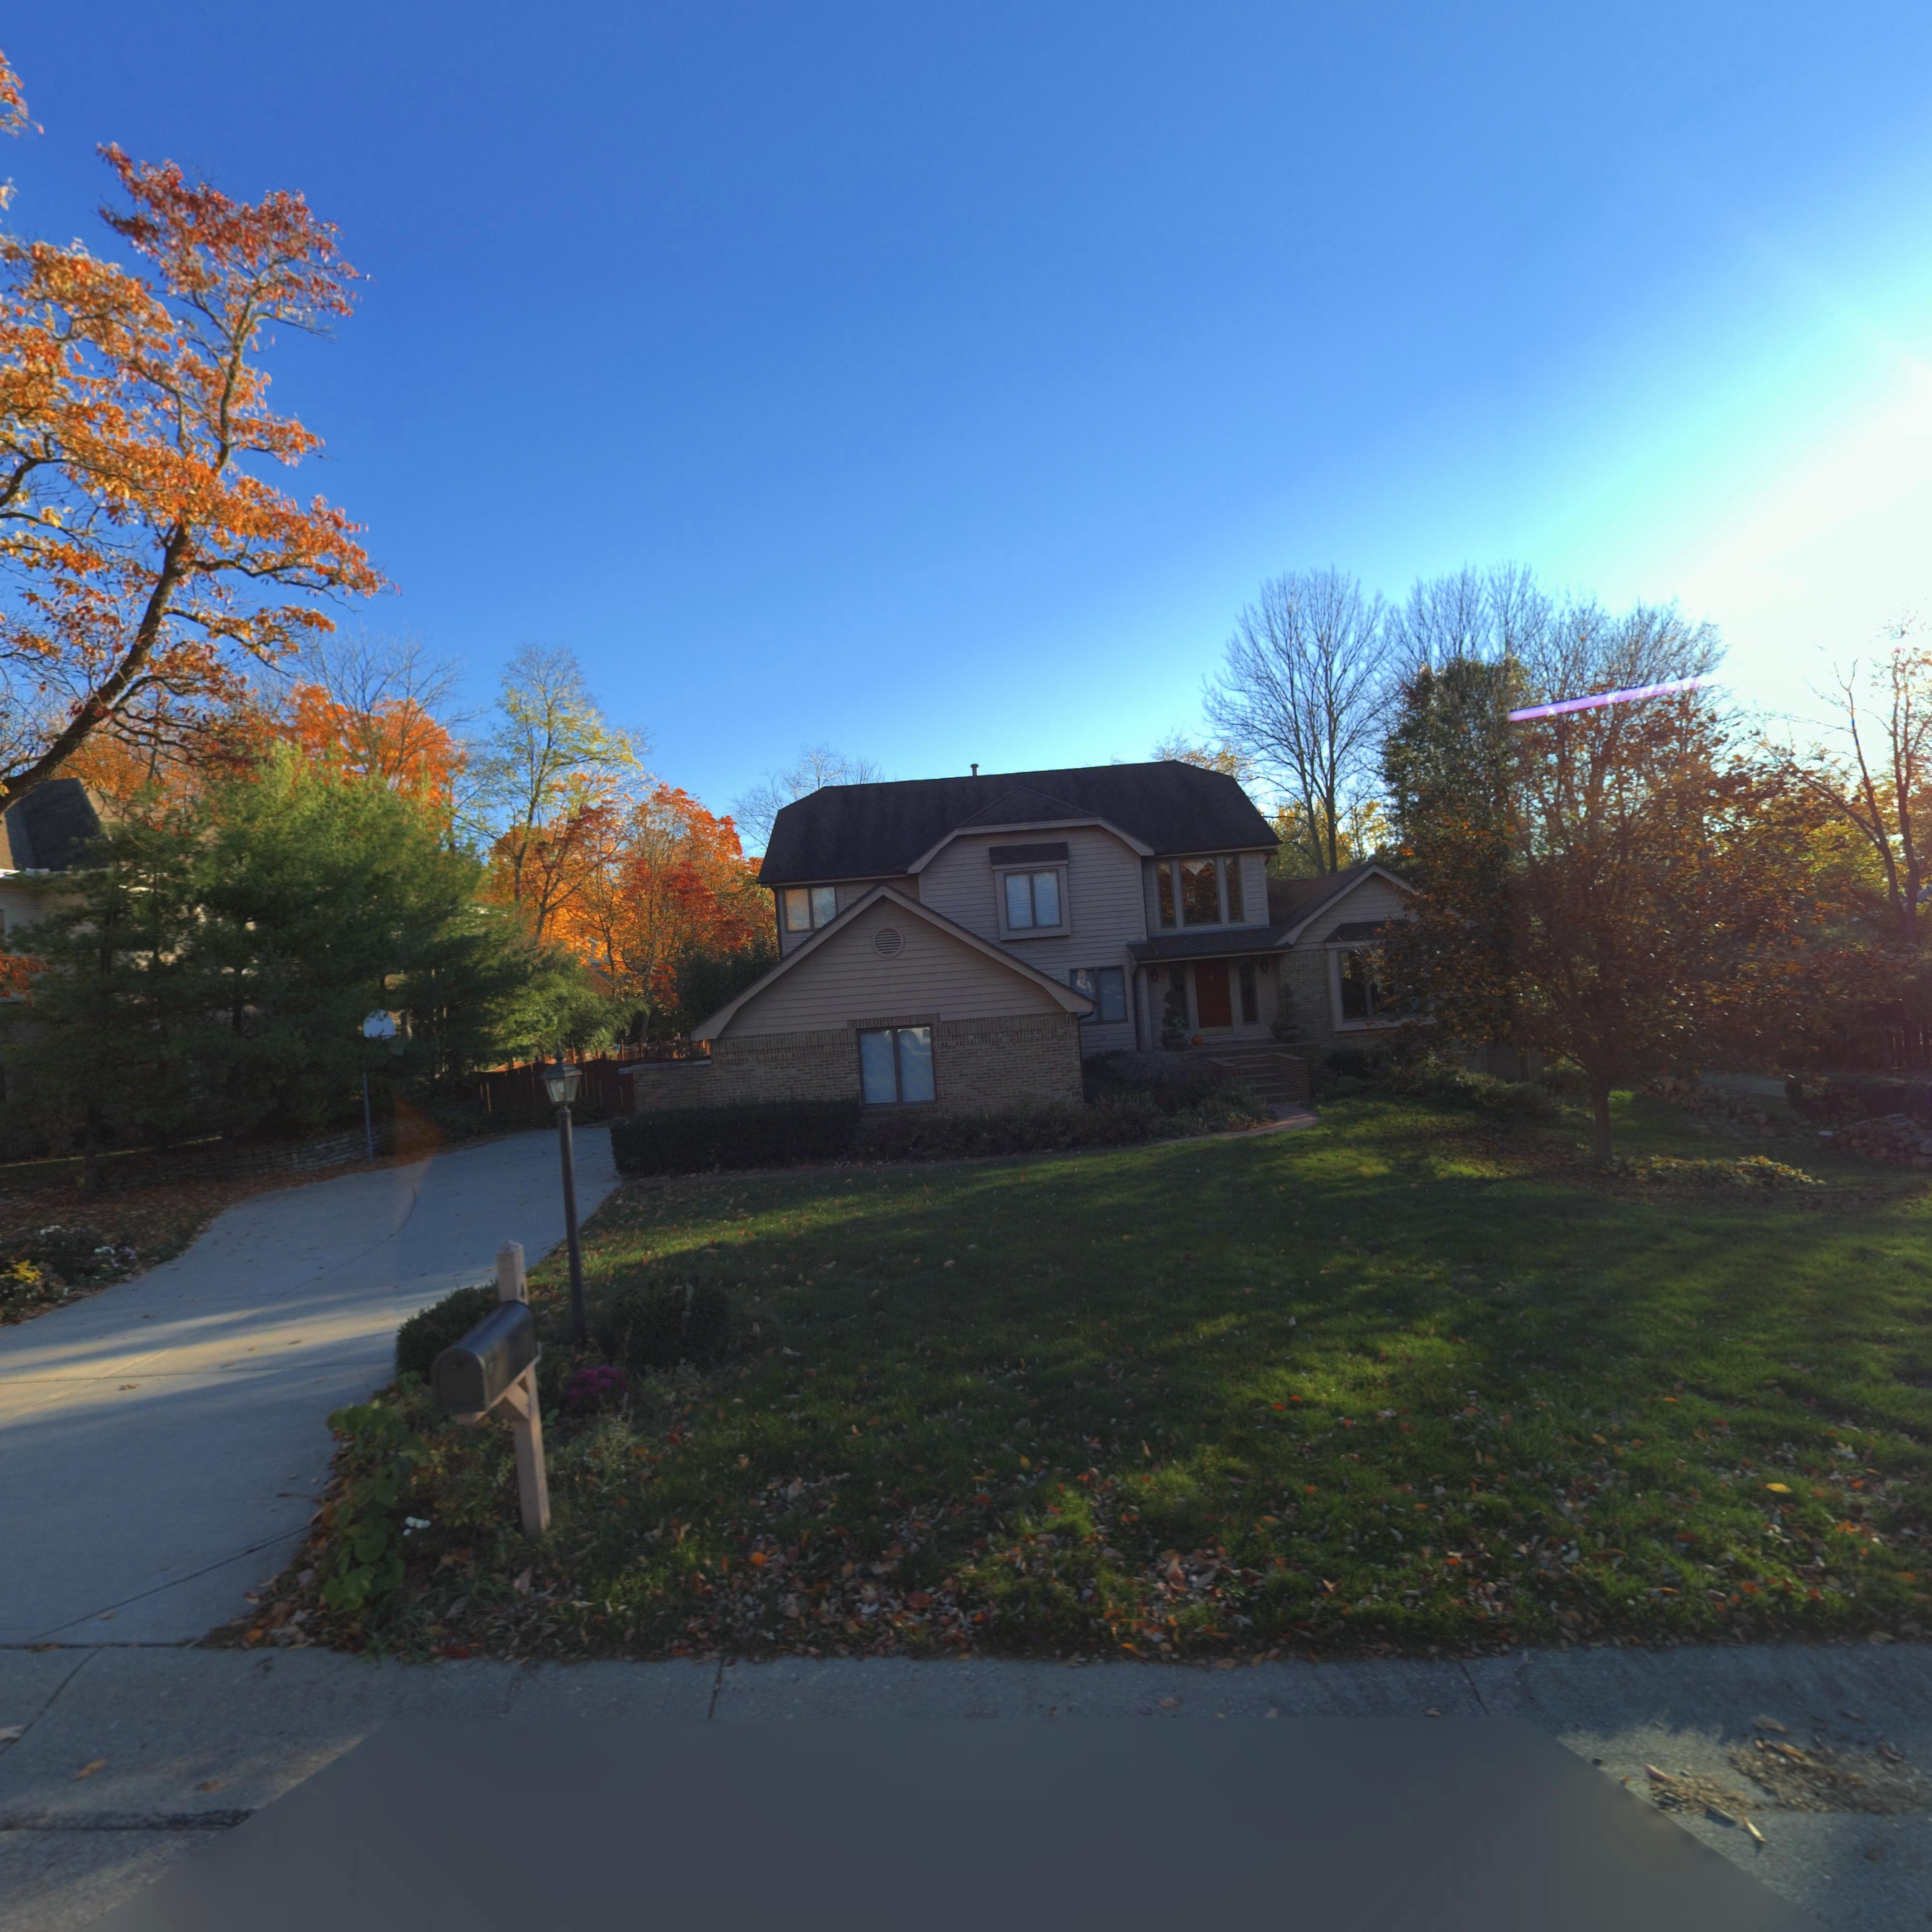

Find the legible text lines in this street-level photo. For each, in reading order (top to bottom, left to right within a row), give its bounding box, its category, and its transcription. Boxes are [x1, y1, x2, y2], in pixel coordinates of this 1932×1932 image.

[518, 1281, 527, 1301] StreetNumber: 4